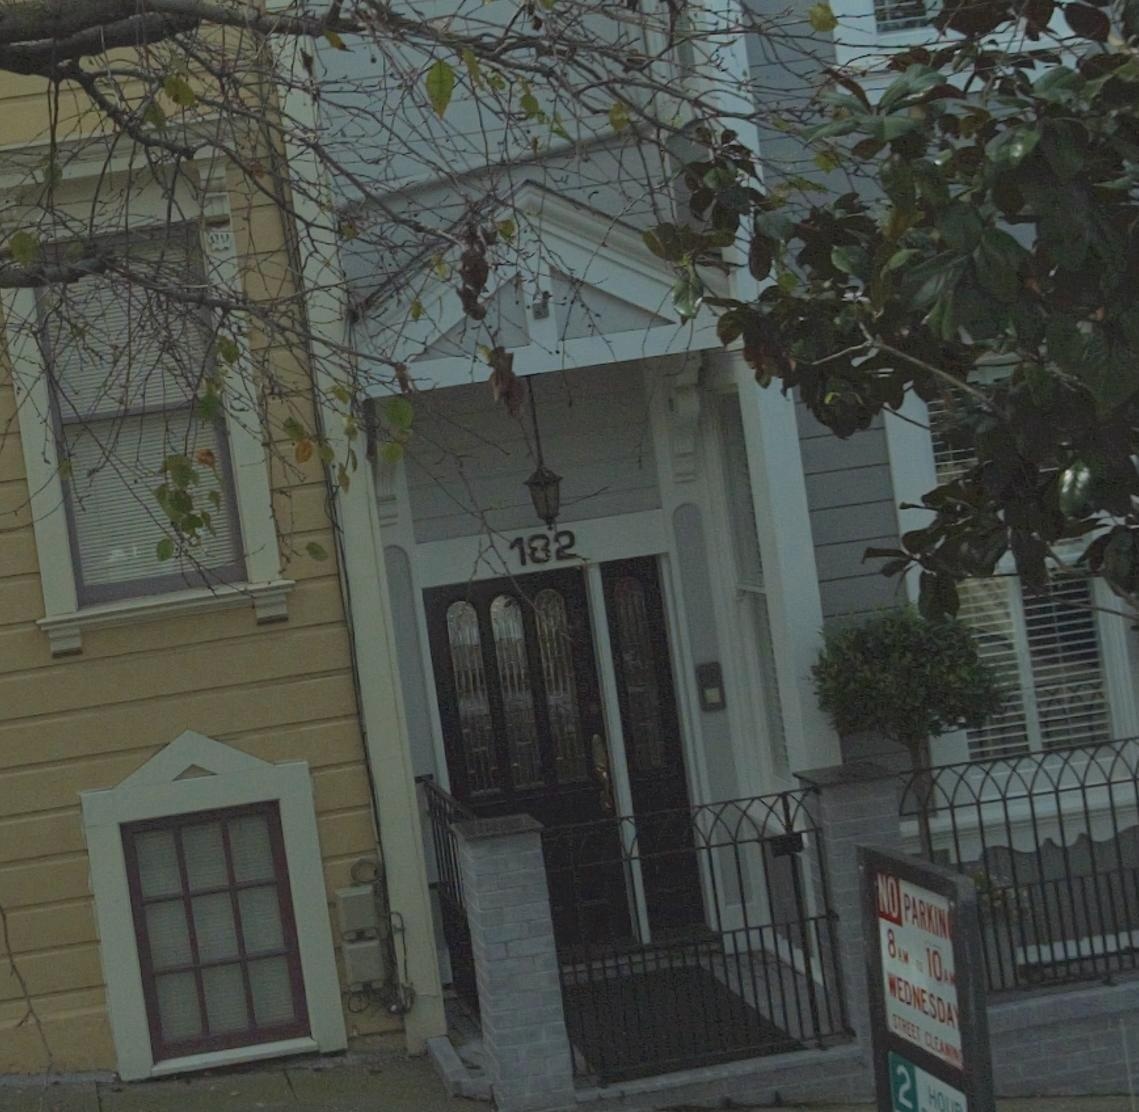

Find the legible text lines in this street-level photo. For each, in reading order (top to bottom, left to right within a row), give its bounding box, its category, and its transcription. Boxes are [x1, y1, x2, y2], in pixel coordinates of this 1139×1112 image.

[507, 526, 580, 568] StreetNumber: 182
[876, 872, 899, 922] None: NO
[902, 890, 948, 943] None: PARKIN
[885, 926, 897, 964] None: 8
[898, 945, 910, 967] None: AM
[914, 957, 924, 977] None: TO
[925, 943, 944, 985] None: 10
[944, 968, 958, 990] None: A*
[885, 968, 959, 1034] None: WEDNESDA*
[891, 1010, 924, 1044] None: STREET
[923, 1028, 964, 1068] None: CLEANIN*
[895, 1059, 915, 1112] None: 2
[927, 1082, 938, 1112] None: H